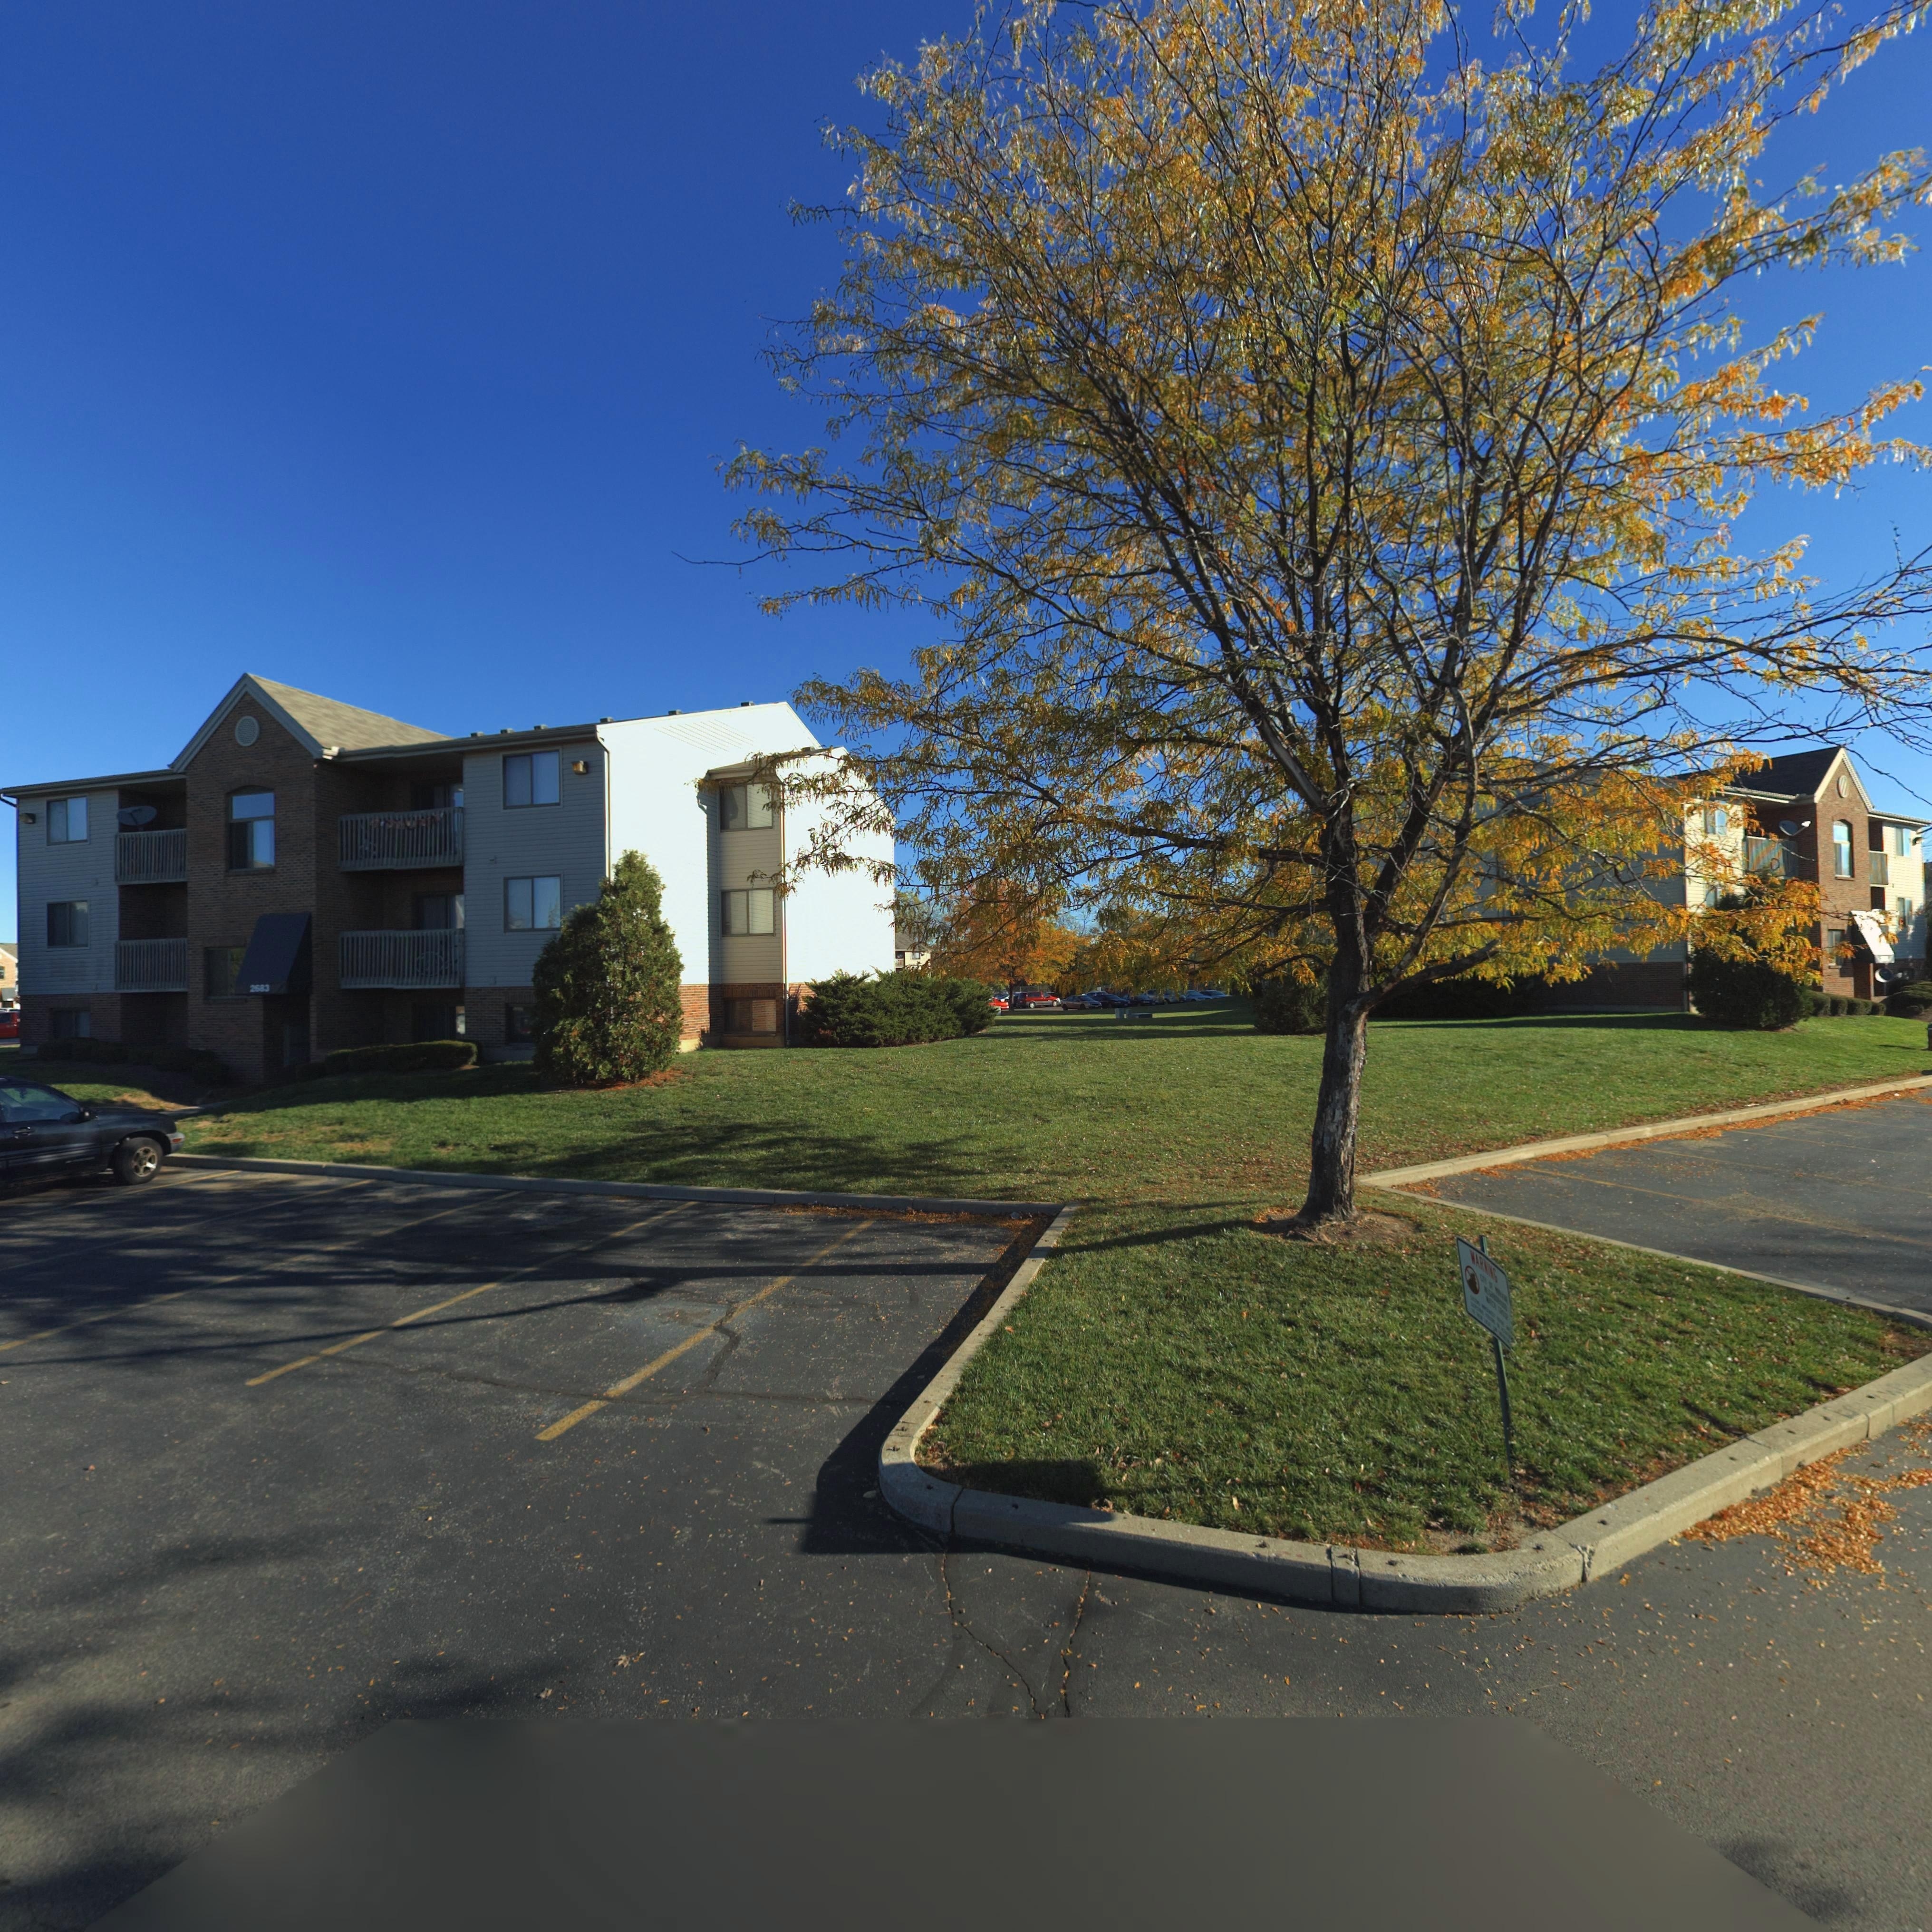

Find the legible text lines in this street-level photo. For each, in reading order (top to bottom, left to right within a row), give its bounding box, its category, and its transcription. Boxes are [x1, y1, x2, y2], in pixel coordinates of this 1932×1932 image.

[249, 984, 270, 993] StreetNumber: 268*